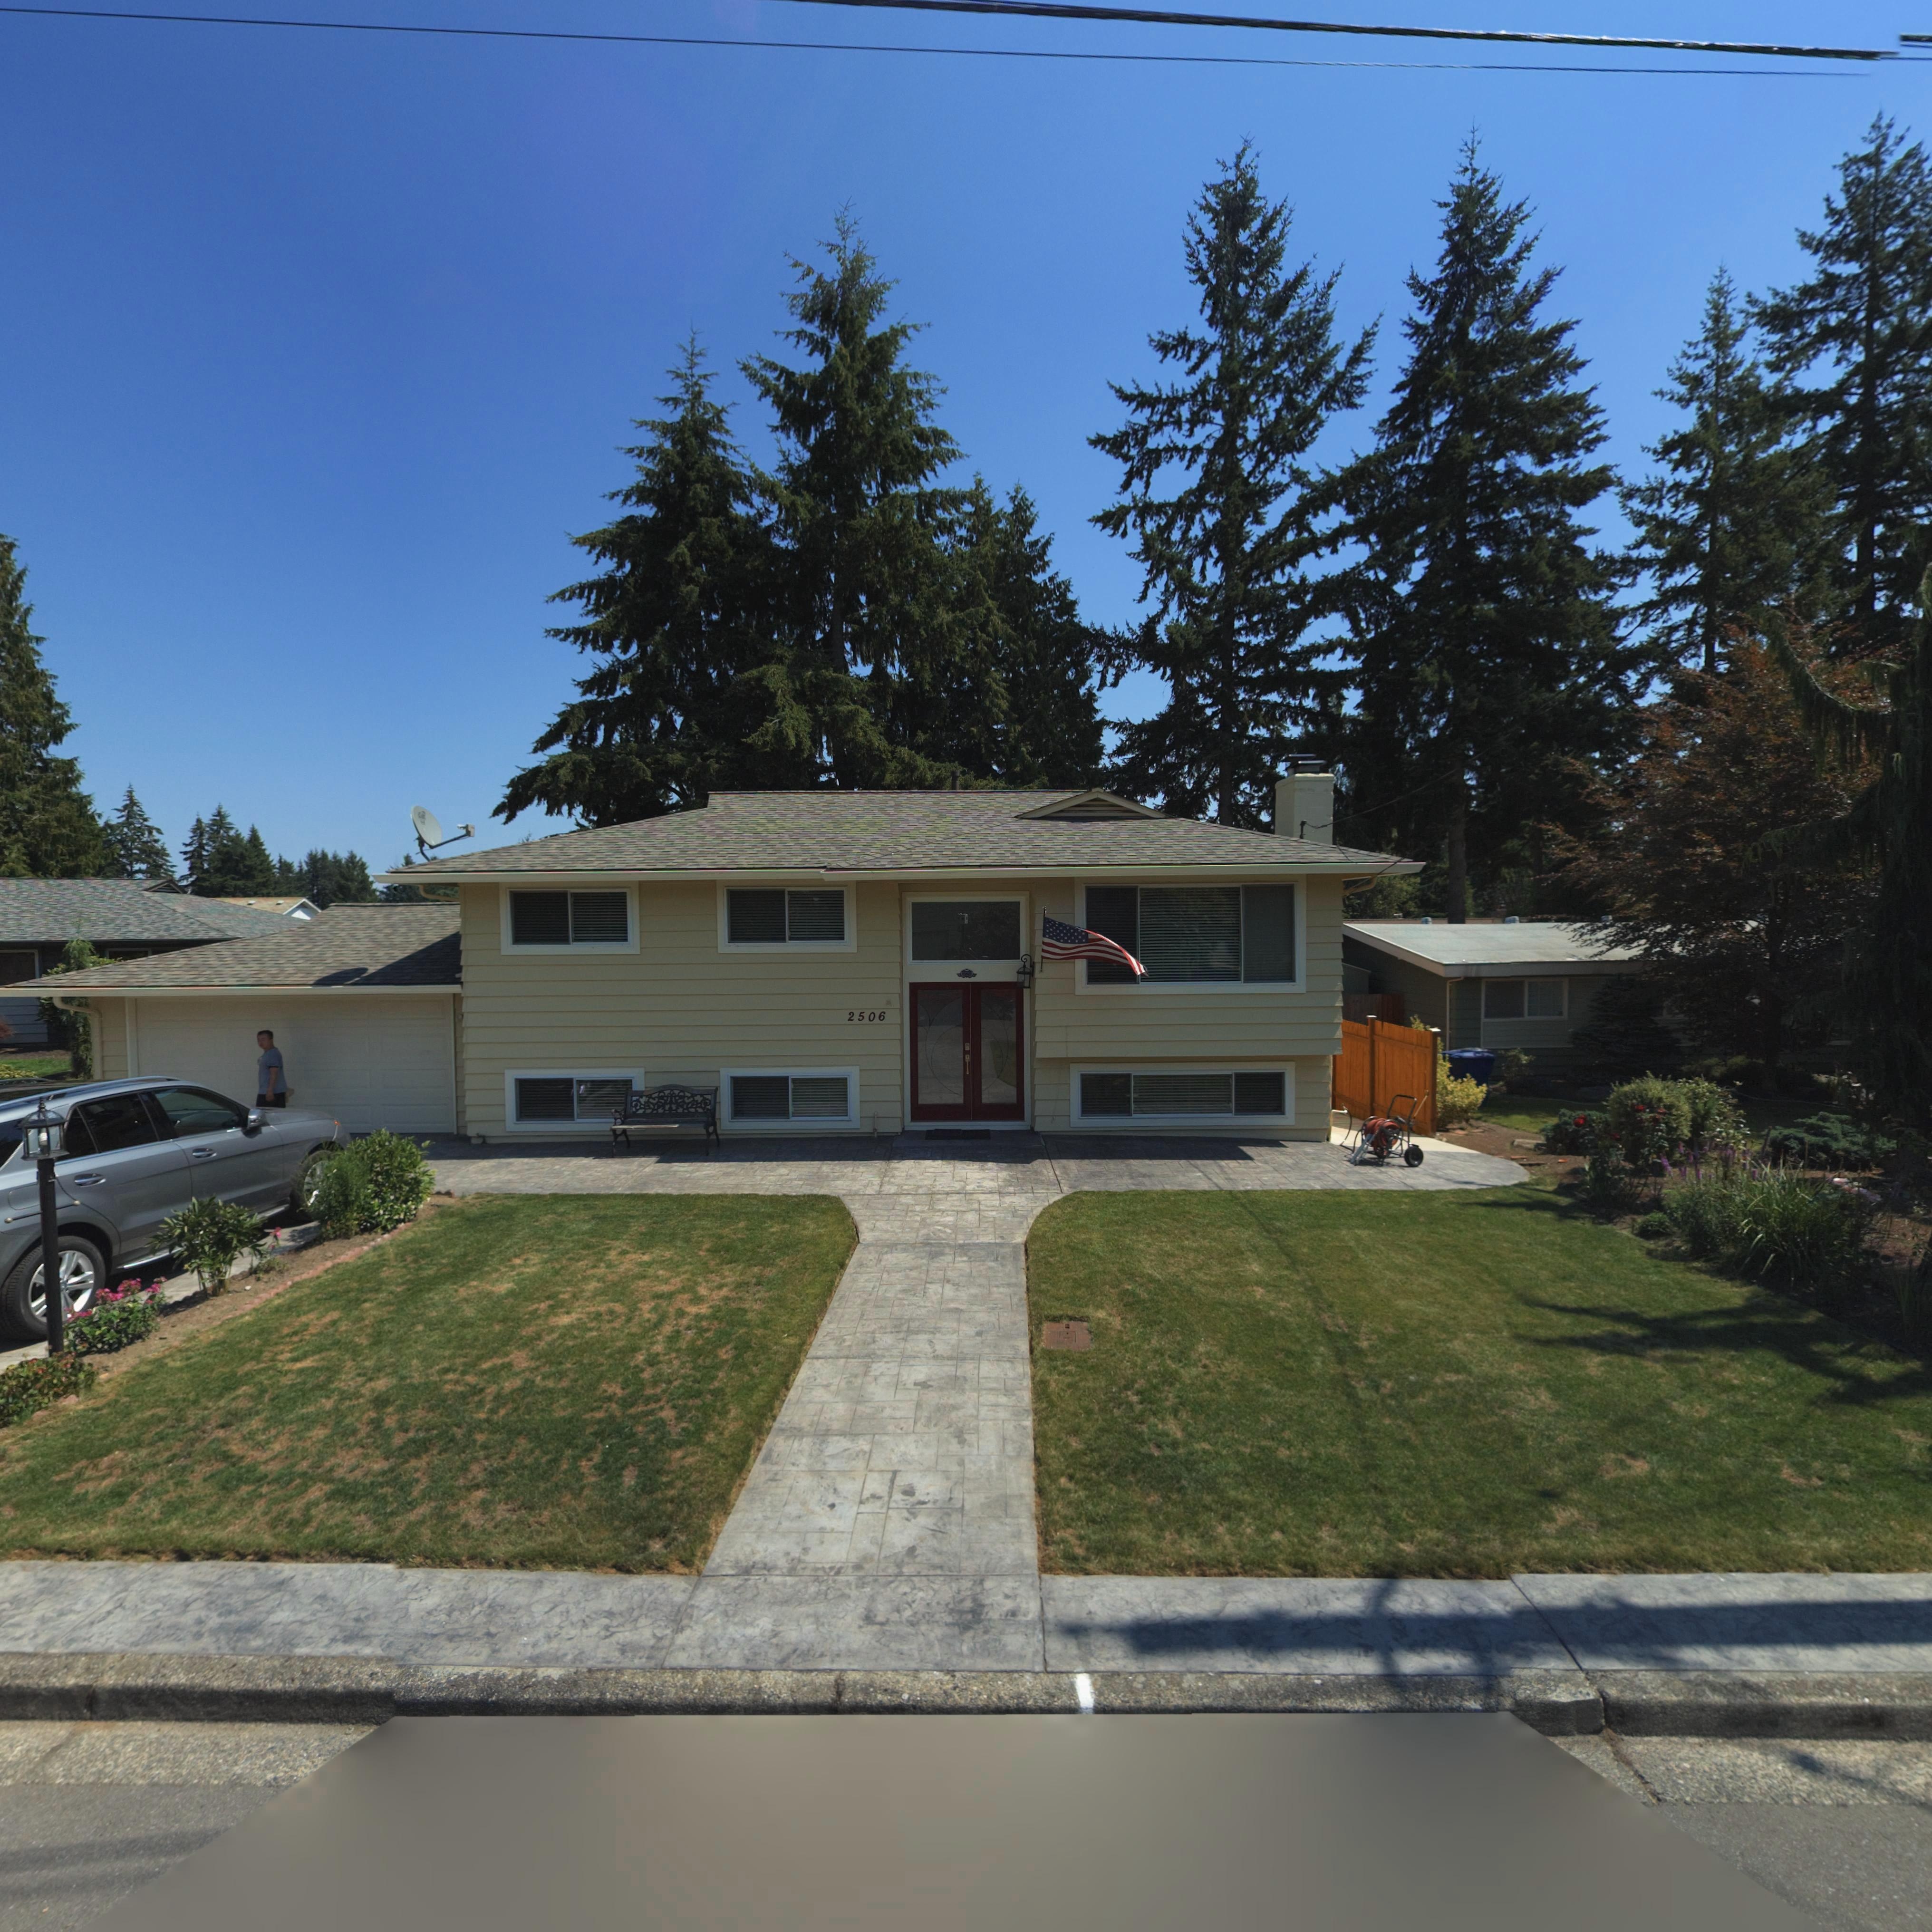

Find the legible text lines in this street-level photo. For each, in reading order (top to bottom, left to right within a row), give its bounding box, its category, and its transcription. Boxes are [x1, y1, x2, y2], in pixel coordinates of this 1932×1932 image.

[848, 1012, 885, 1021] StreetNumber: 2506